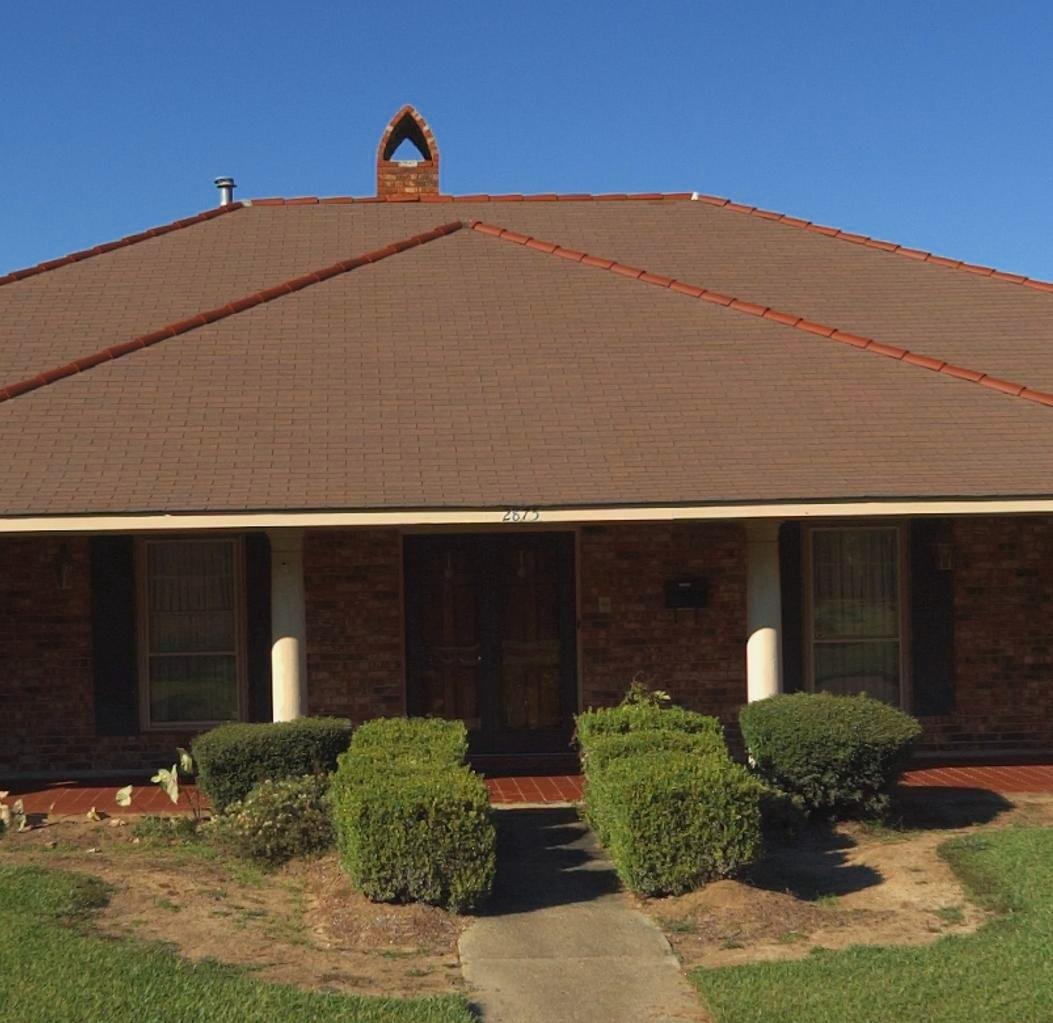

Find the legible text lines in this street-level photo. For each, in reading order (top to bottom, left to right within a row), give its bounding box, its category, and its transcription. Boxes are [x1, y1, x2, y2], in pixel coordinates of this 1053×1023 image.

[502, 507, 540, 522] StreetNumber: 2875